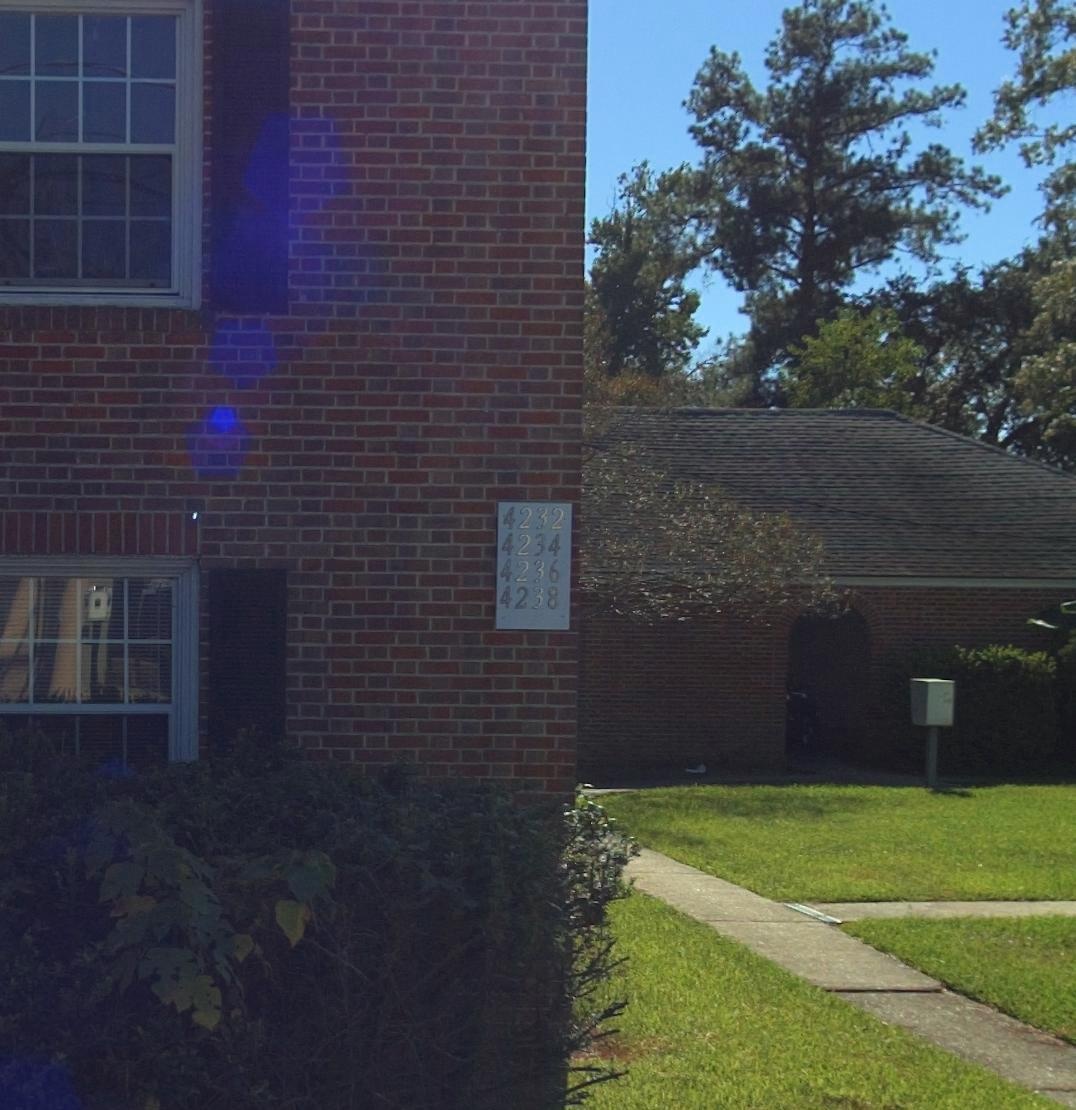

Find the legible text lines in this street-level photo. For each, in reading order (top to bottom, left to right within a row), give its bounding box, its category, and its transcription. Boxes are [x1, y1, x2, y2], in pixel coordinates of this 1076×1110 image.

[500, 505, 565, 531] StreetNumber: 4232
[500, 532, 563, 558] StreetNumber: 4234
[498, 558, 561, 584] StreetNumber: 4236
[498, 584, 561, 611] StreetNumber: 4238